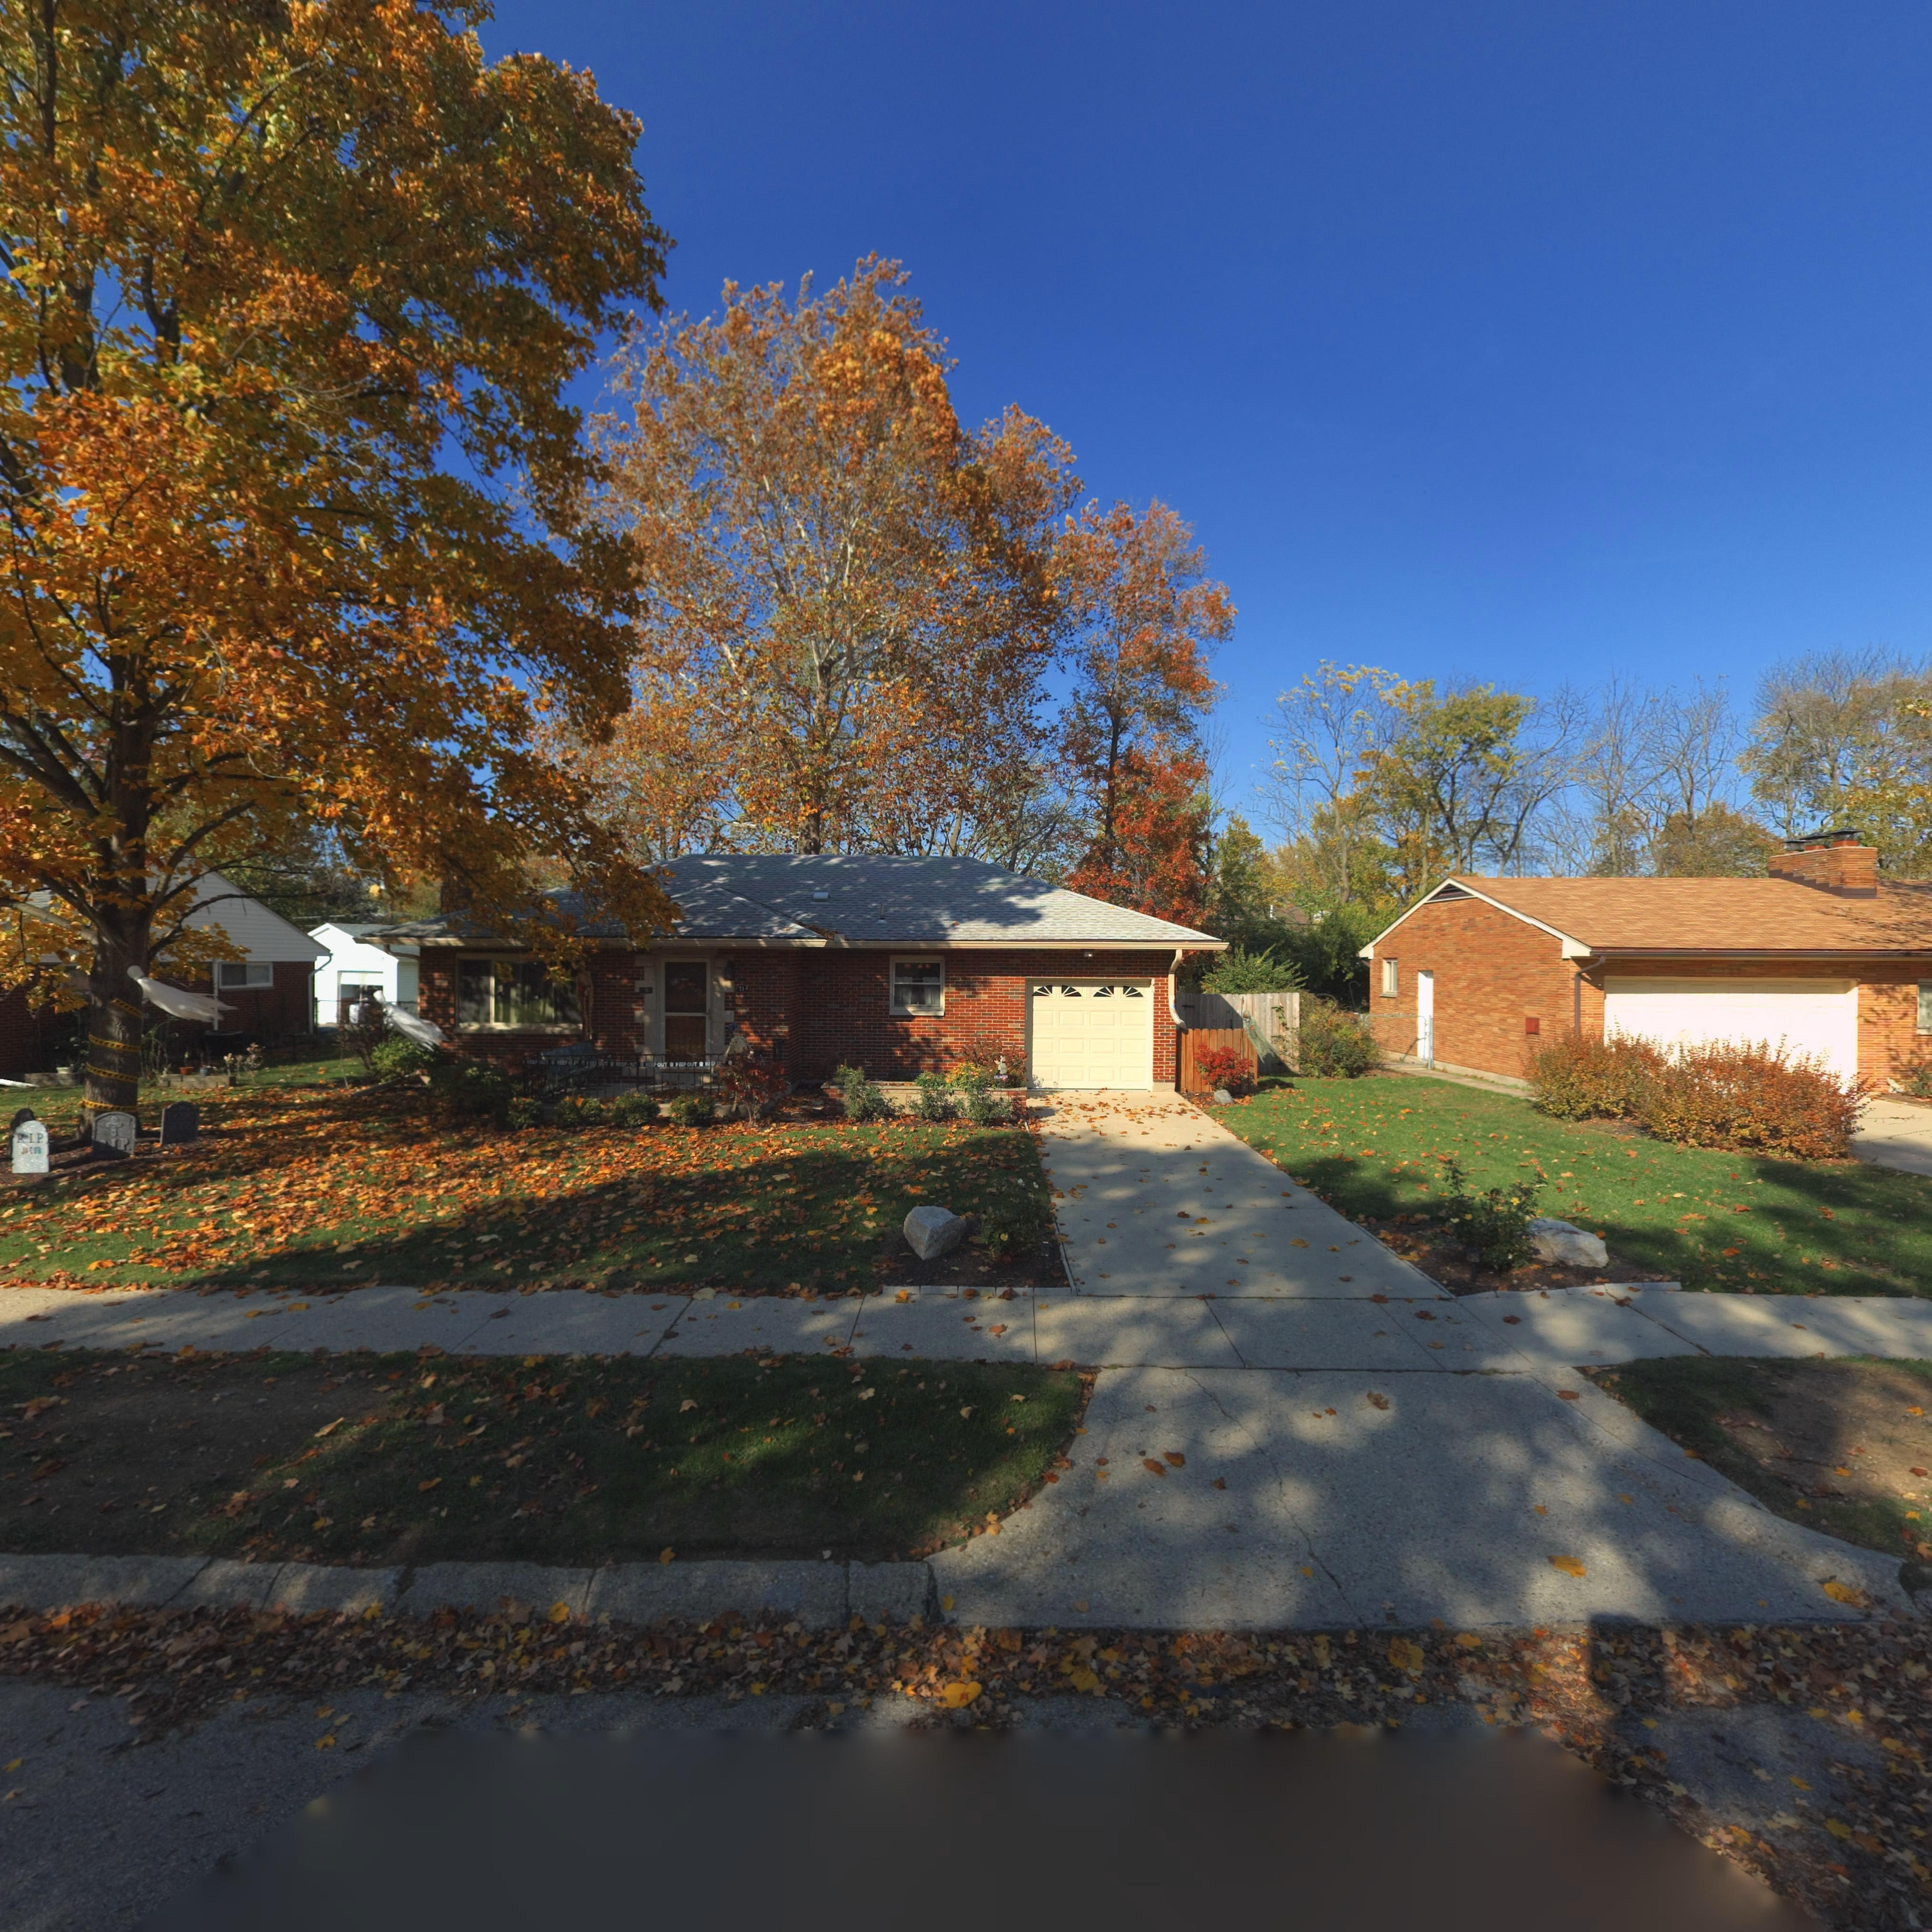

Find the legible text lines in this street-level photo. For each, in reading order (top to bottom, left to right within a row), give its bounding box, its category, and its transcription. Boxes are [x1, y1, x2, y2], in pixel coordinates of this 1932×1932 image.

[738, 985, 749, 992] StreetNumber: 713